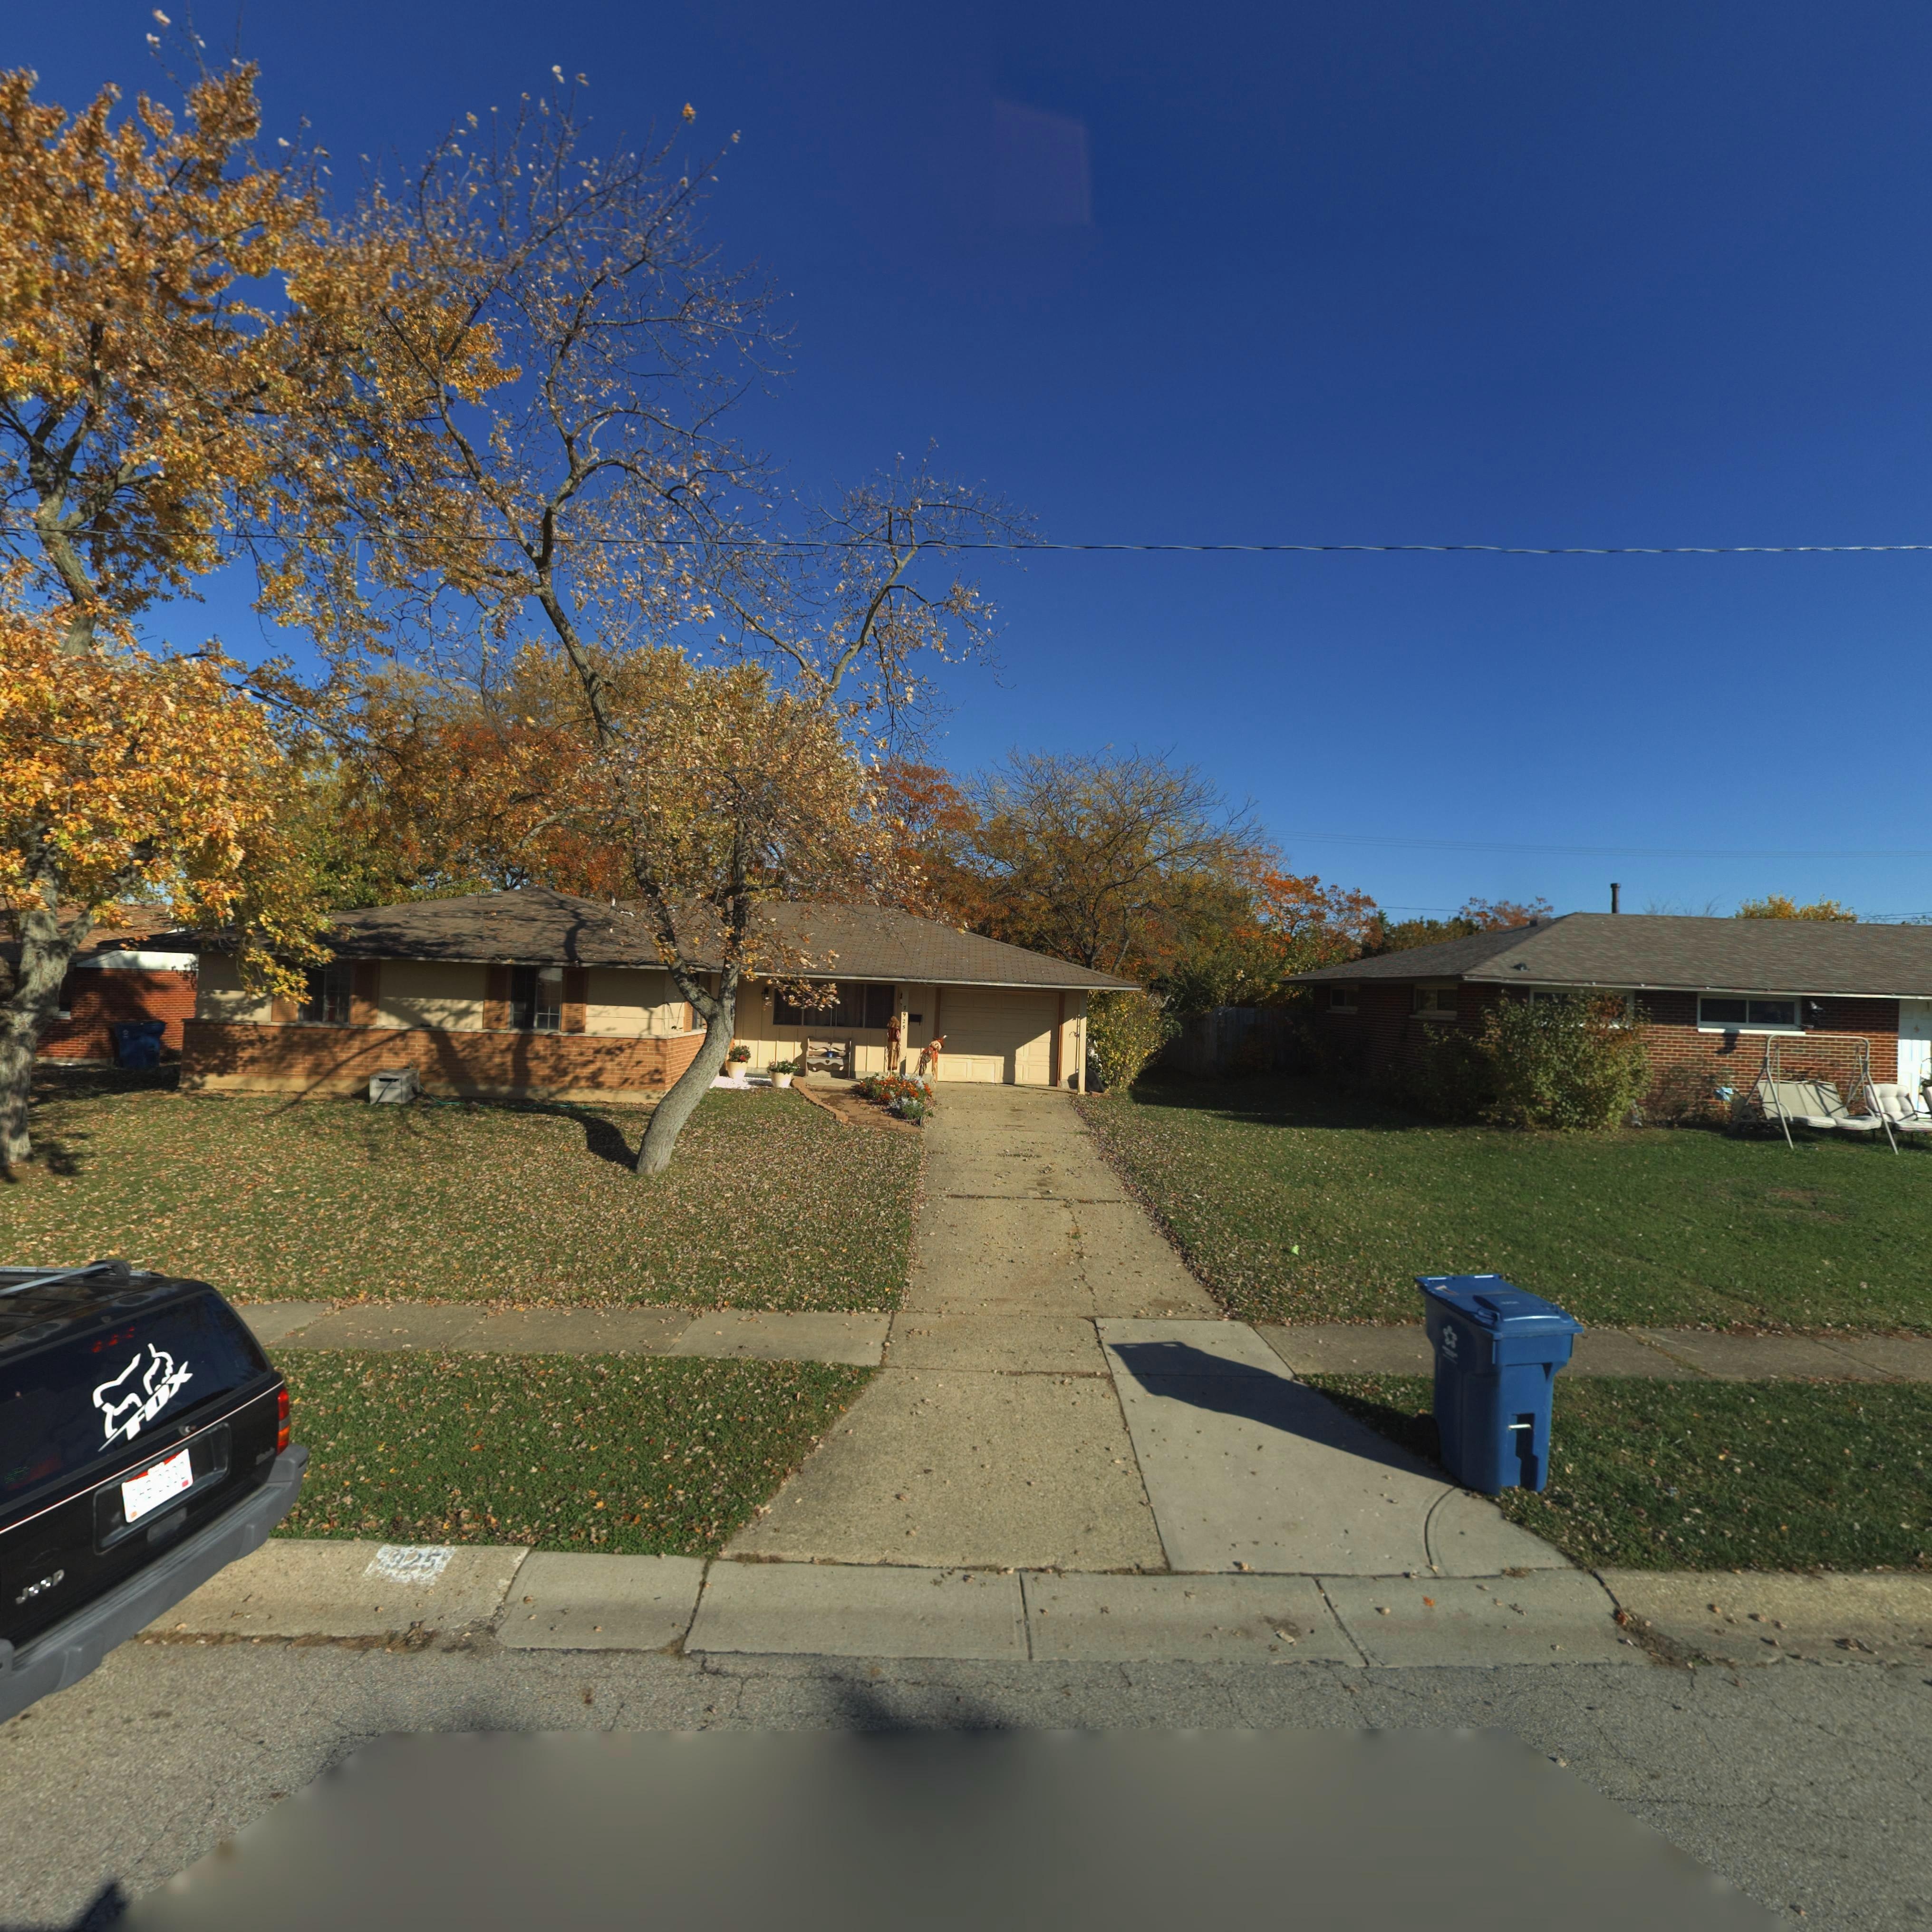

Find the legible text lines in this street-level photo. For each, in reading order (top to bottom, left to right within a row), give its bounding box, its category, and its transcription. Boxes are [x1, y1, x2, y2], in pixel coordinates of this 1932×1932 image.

[901, 1005, 907, 1030] StreetNumber: 7925
[383, 1551, 444, 1572] StreetNumber: 925